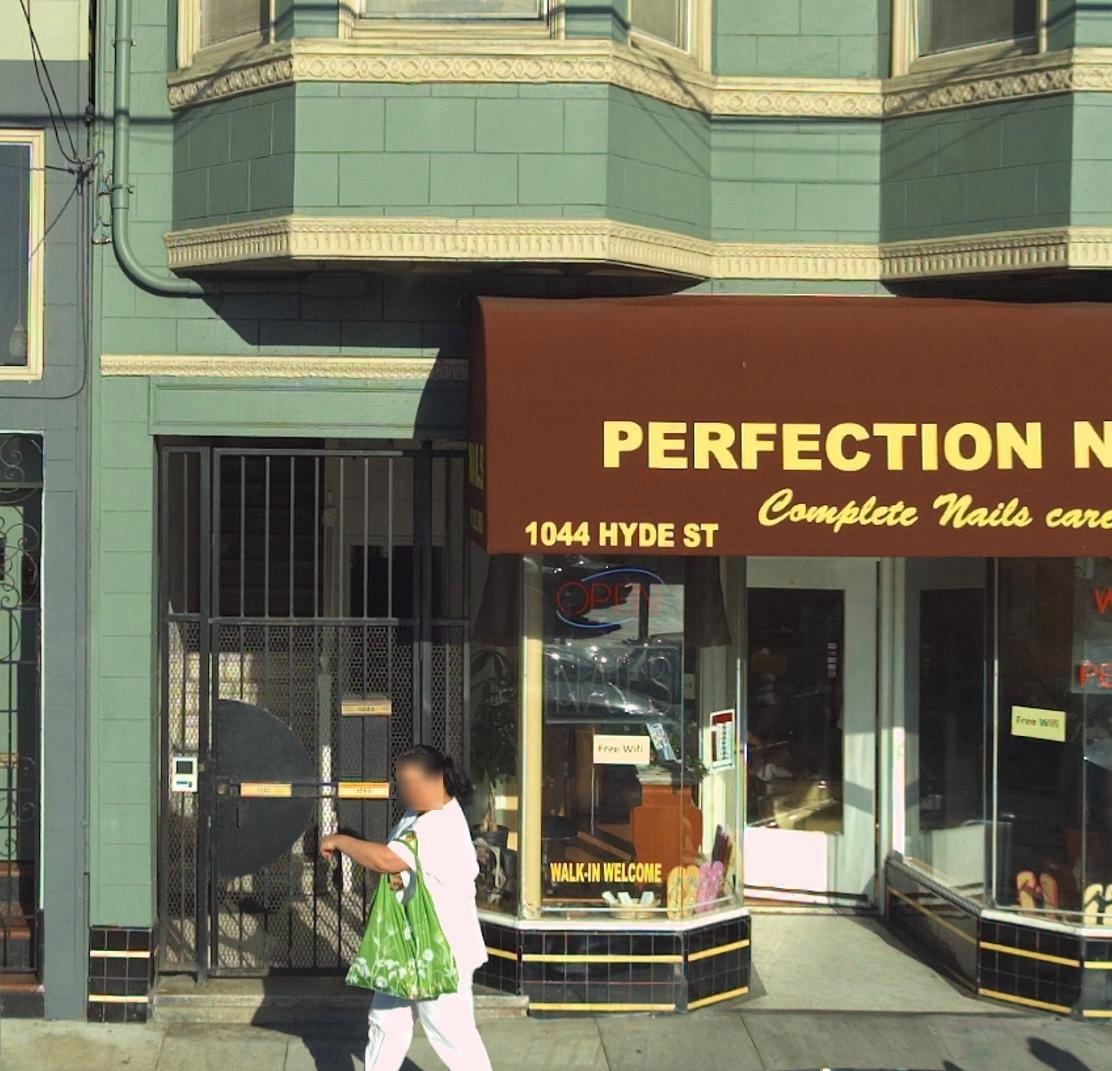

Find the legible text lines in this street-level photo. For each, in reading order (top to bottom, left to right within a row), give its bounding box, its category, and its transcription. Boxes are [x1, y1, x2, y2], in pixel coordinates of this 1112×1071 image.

[601, 418, 1112, 469] BusinessName: PERFECTION N
[755, 485, 1112, 534] None: Complete Nails care
[523, 520, 591, 547] StreetNumber: 1044
[598, 521, 719, 548] StreetName: HYDE ST
[554, 580, 662, 618] None: OPEN
[554, 652, 673, 717] None: NAILS
[1077, 660, 1112, 689] None: PE
[597, 743, 644, 754] None: Free Wifi
[548, 860, 663, 884] None: WALK-IN WELCOME